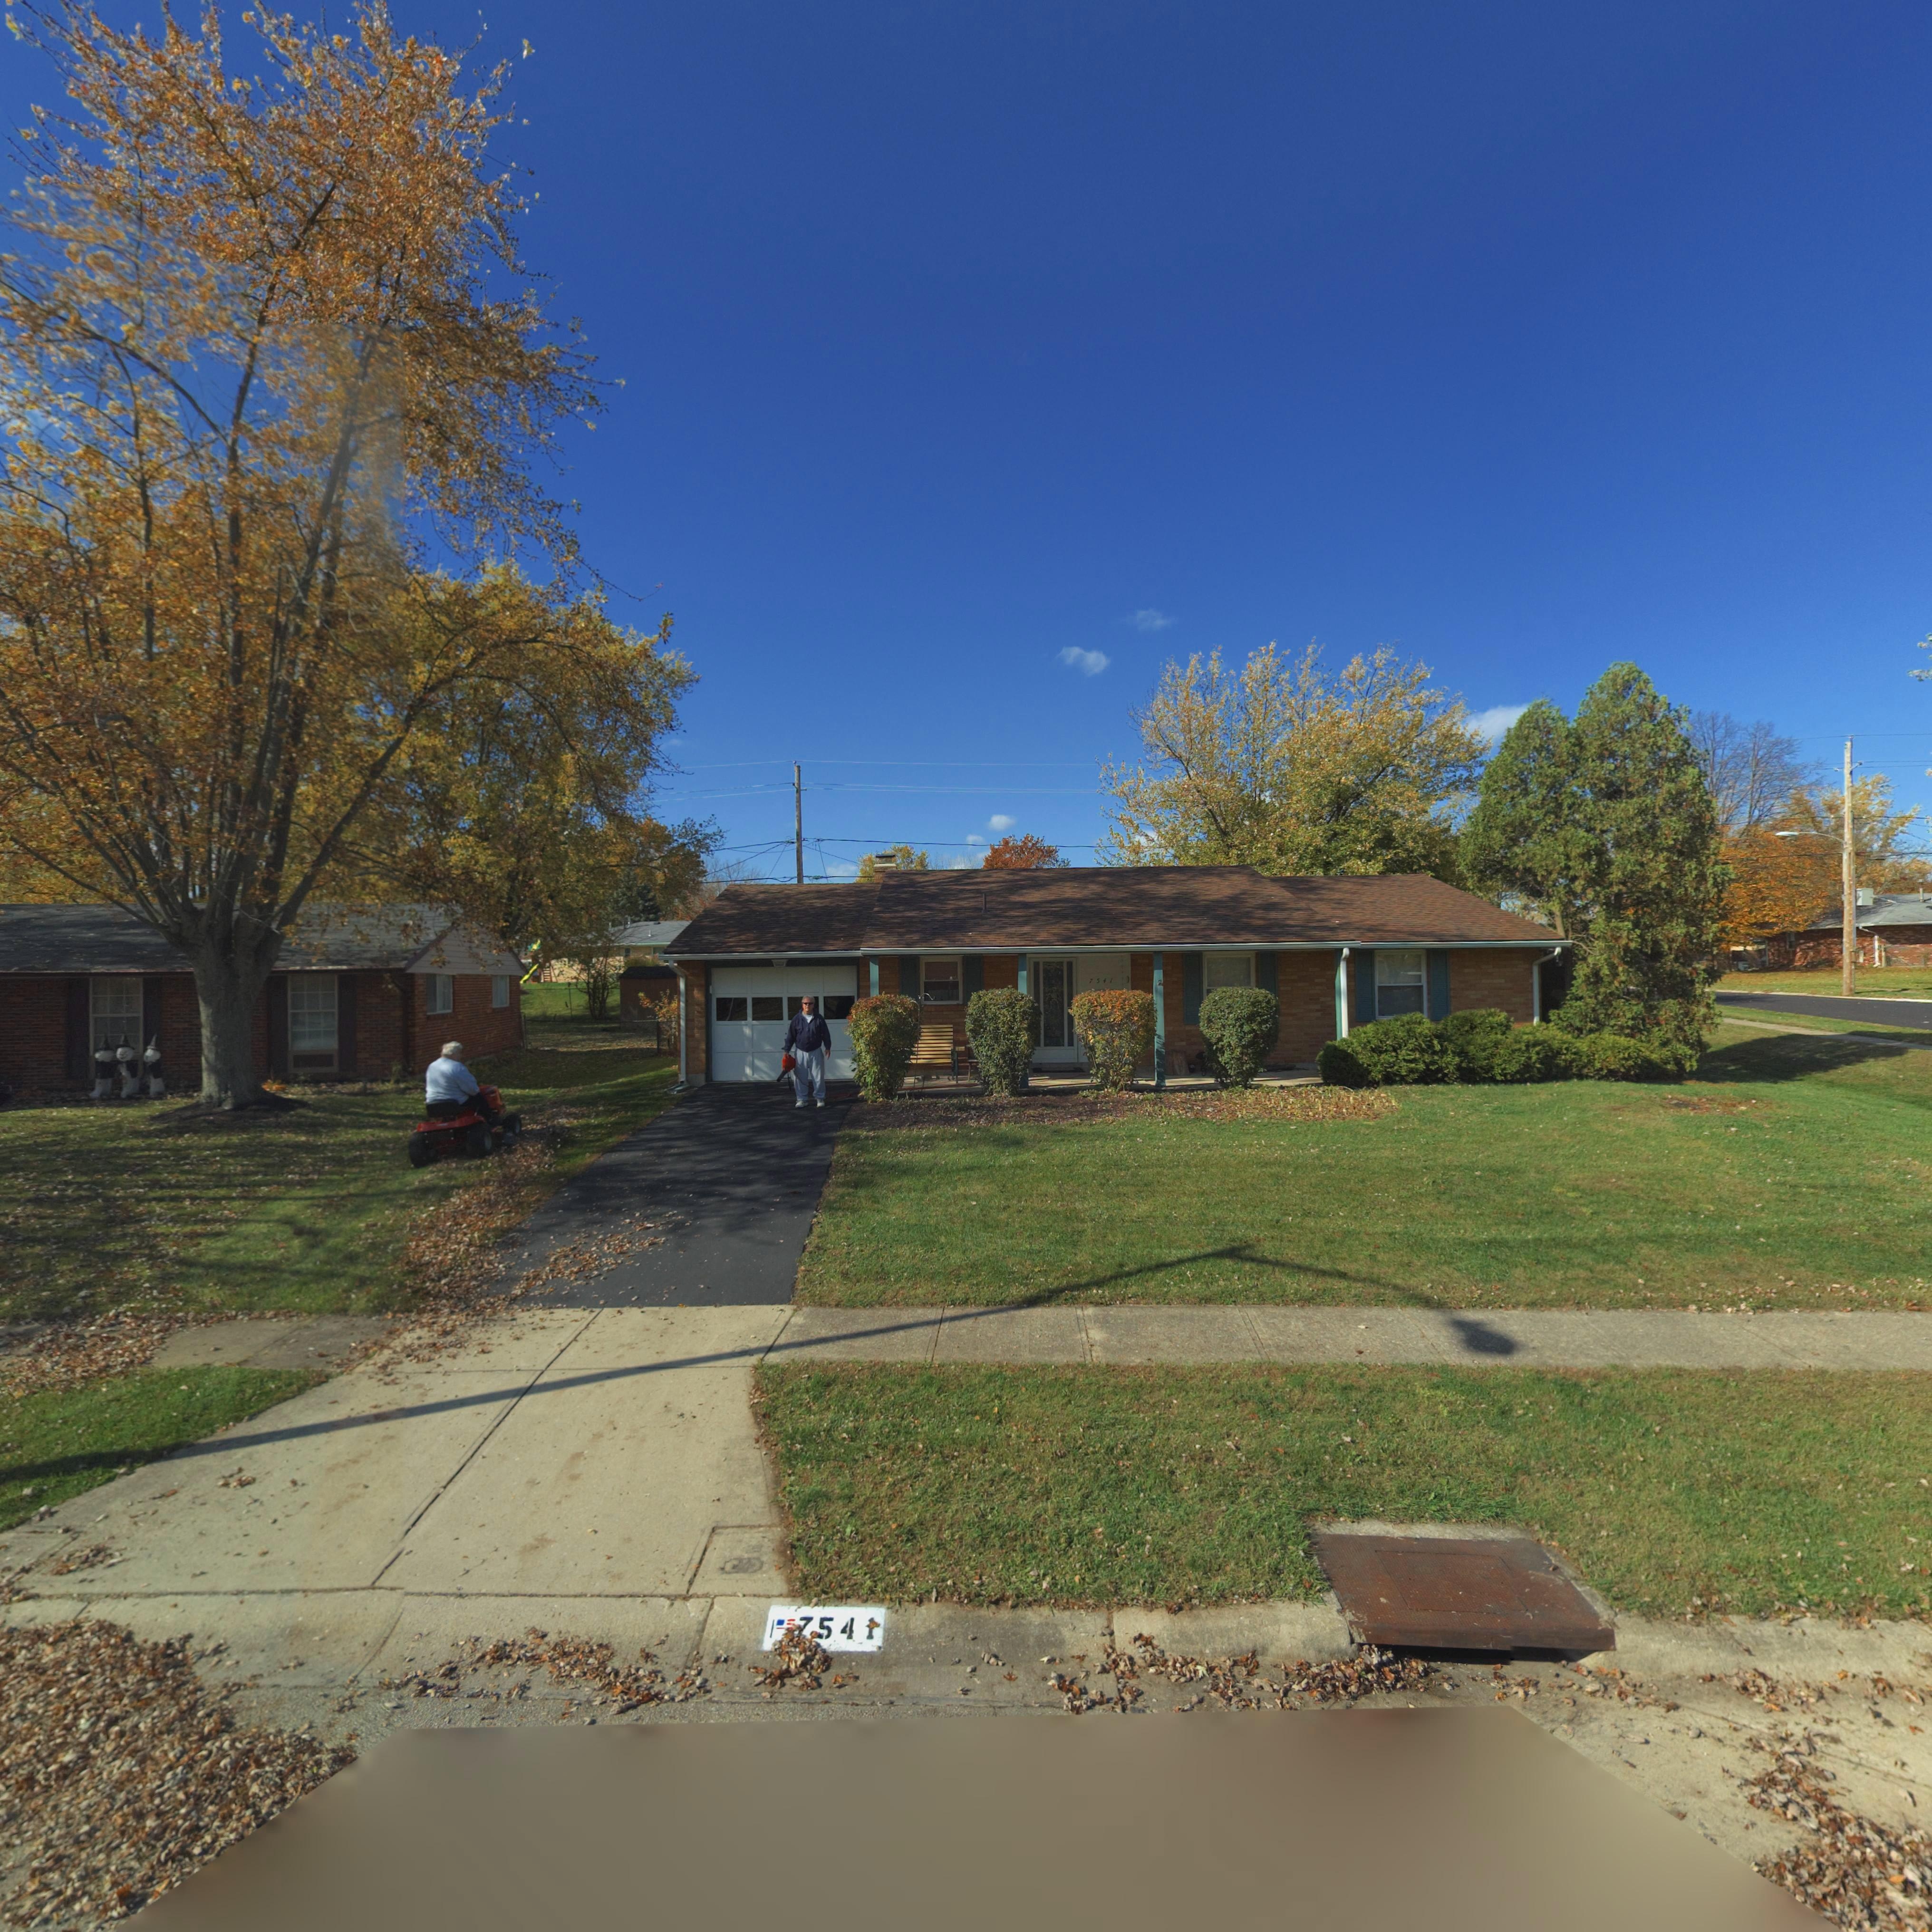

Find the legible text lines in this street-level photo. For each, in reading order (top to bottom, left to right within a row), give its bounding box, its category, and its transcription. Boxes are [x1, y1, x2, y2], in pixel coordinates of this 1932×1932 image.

[1088, 977, 1114, 985] StreetNumber: 7541
[796, 1614, 876, 1642] StreetNumber: 7541